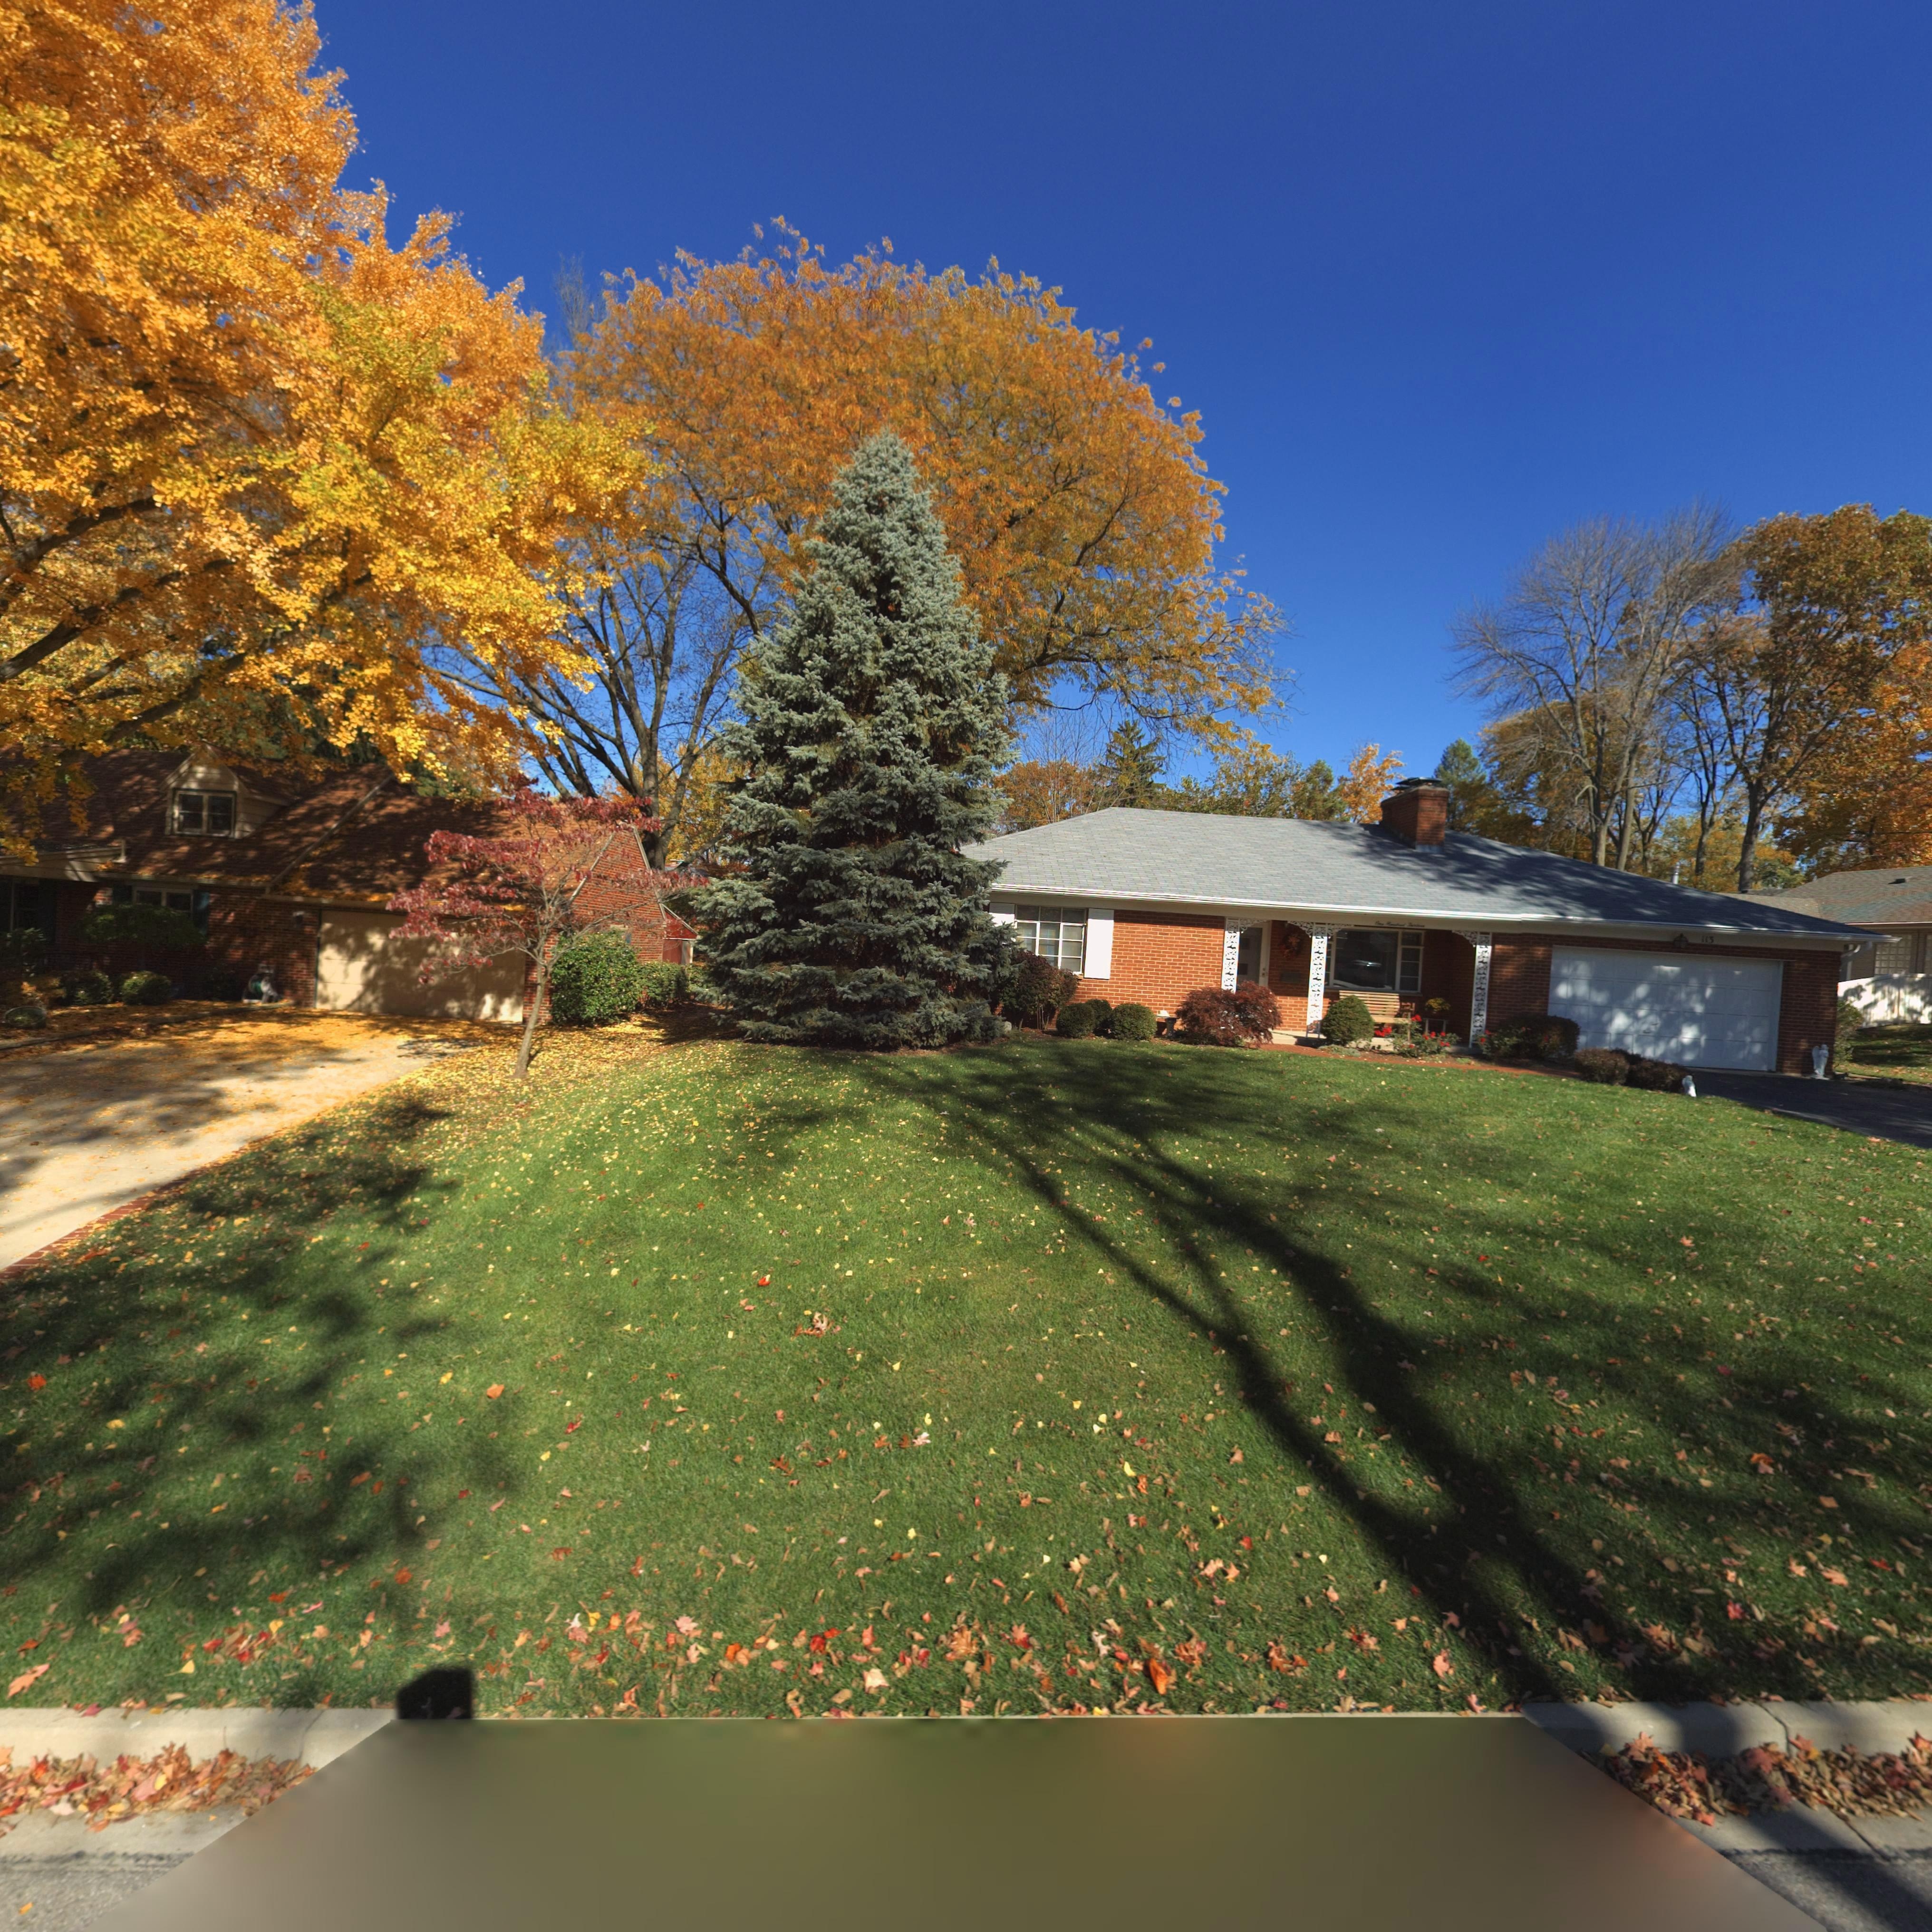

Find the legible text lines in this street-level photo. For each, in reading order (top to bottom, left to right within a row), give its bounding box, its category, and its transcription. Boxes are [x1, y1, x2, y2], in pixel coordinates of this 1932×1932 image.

[1373, 919, 1391, 927] StreetNumber: One H
[1701, 935, 1715, 945] StreetNumber: 113